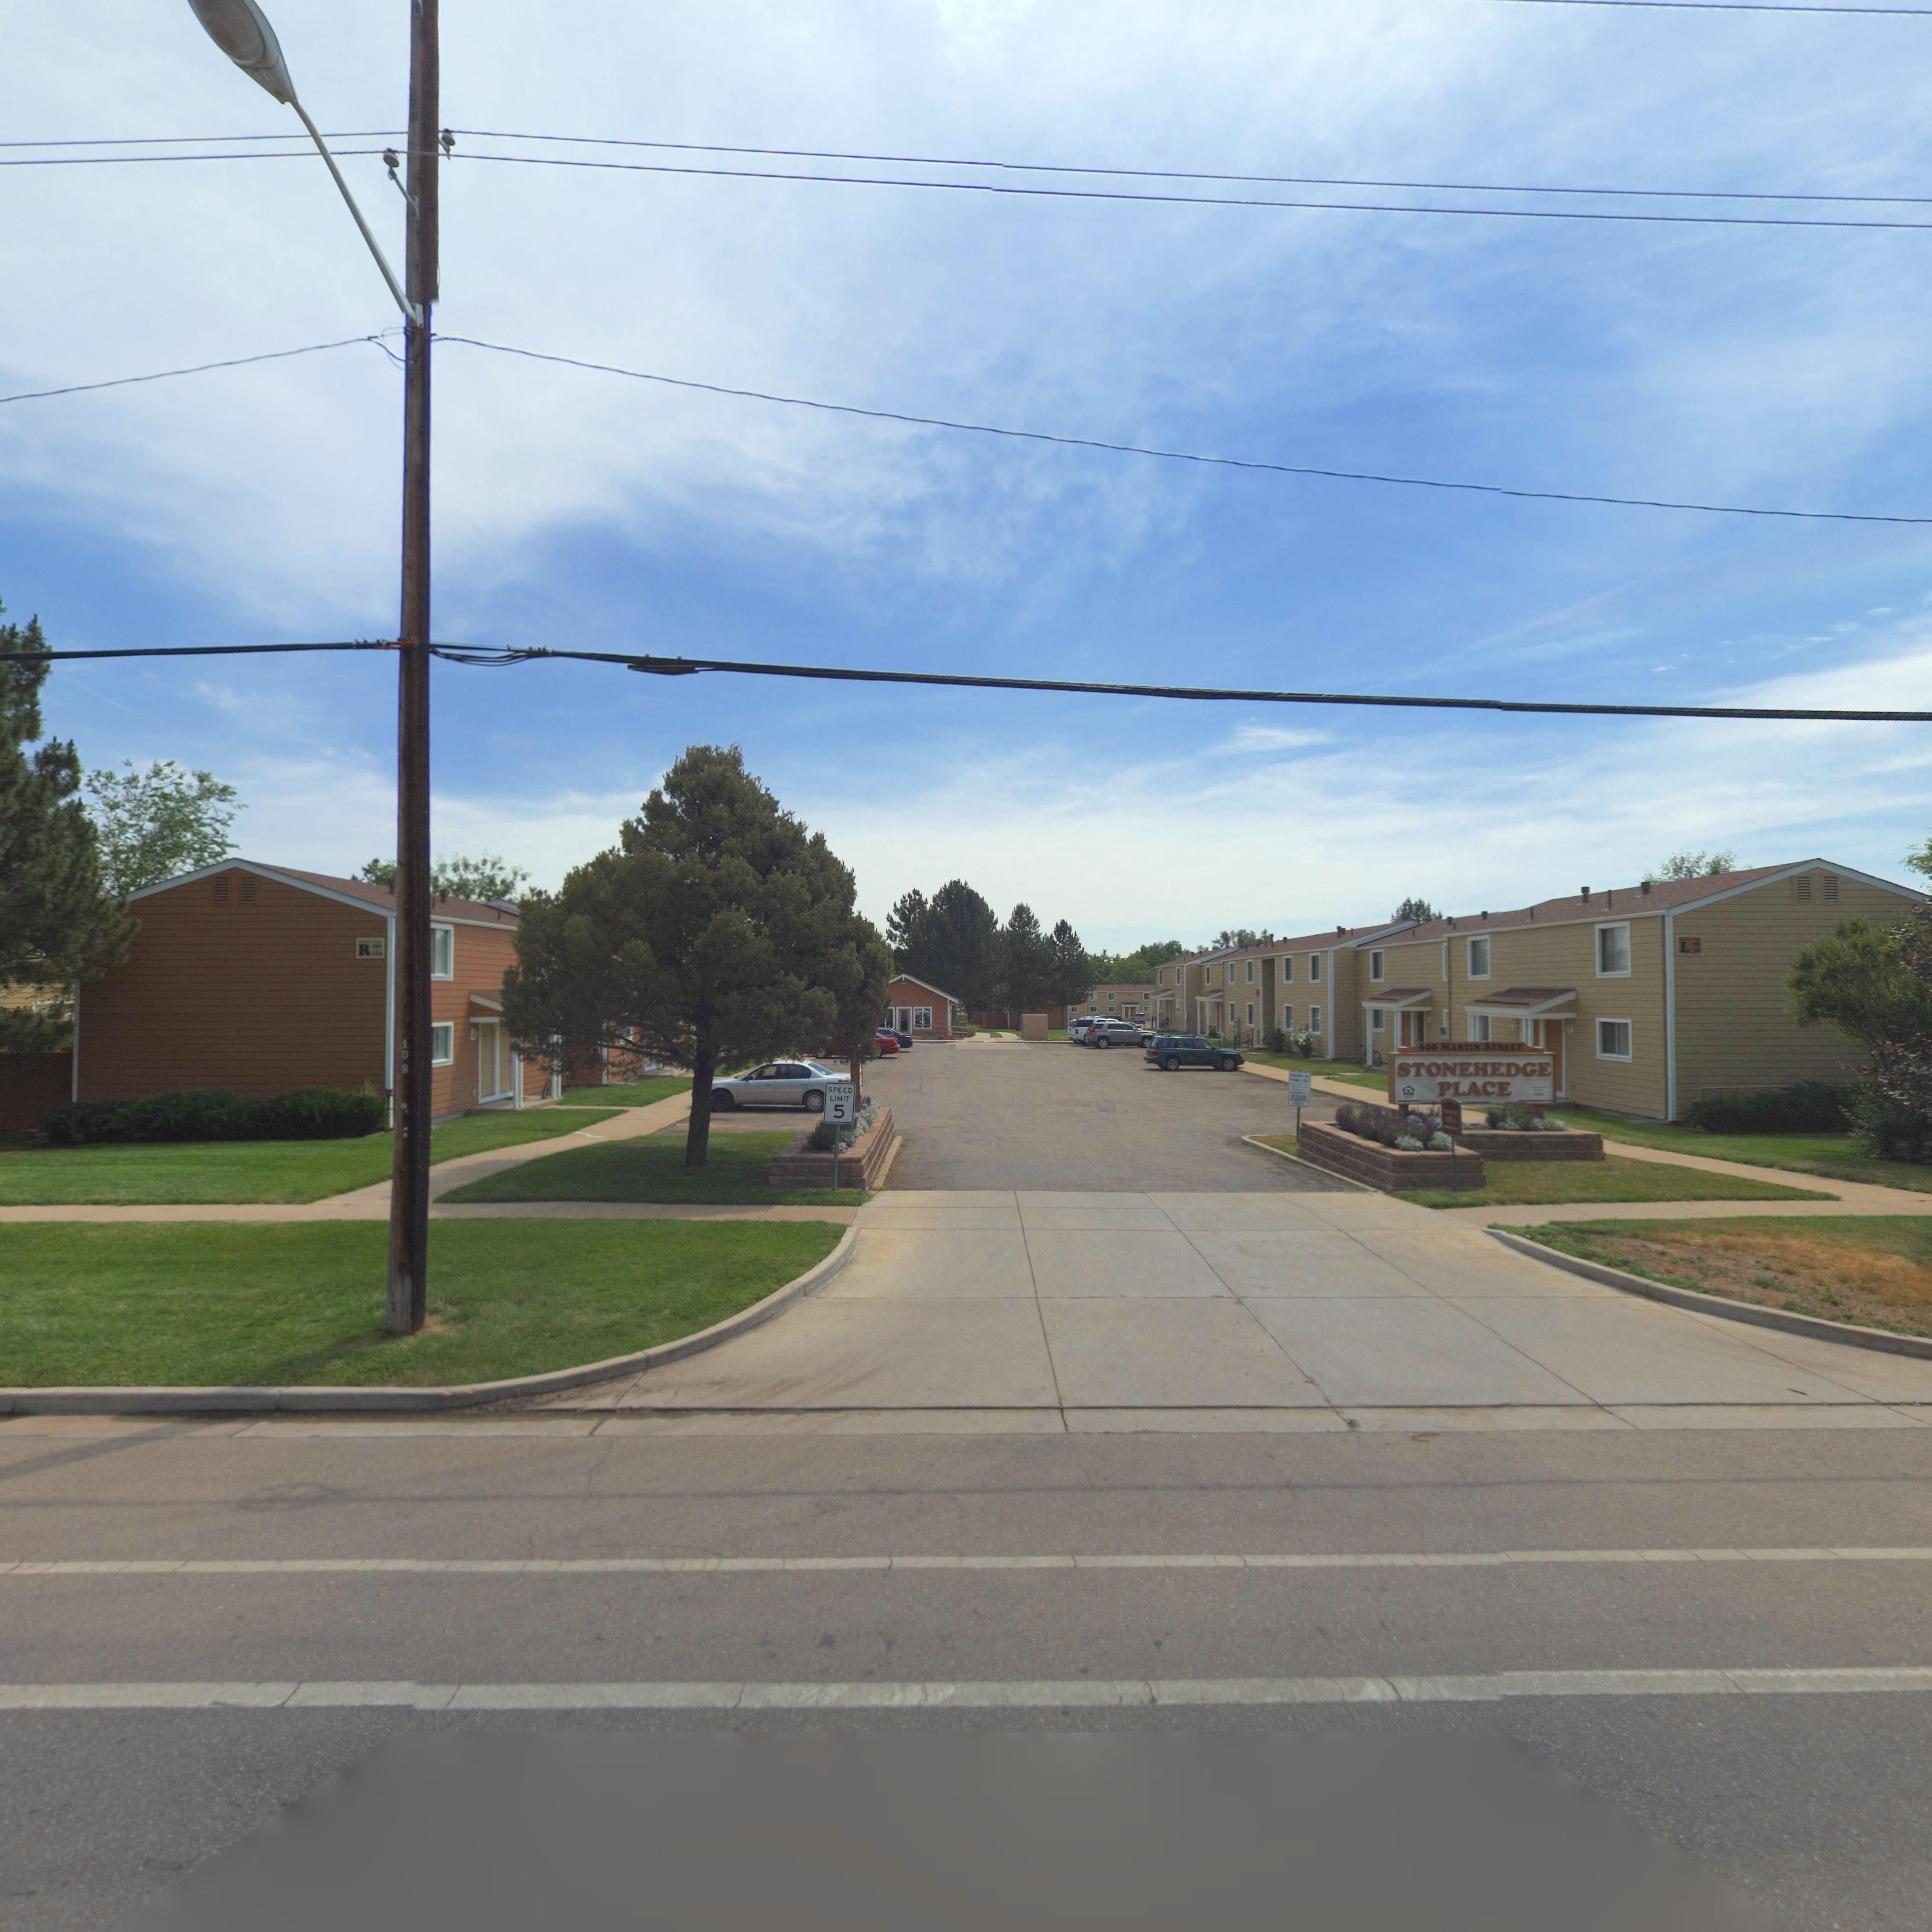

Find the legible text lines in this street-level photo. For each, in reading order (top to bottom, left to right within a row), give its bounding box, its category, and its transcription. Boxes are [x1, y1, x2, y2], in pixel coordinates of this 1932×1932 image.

[1419, 1042, 1438, 1052] StreetNumber: 600
[1440, 1042, 1523, 1051] StreetName: MARTIN STREET